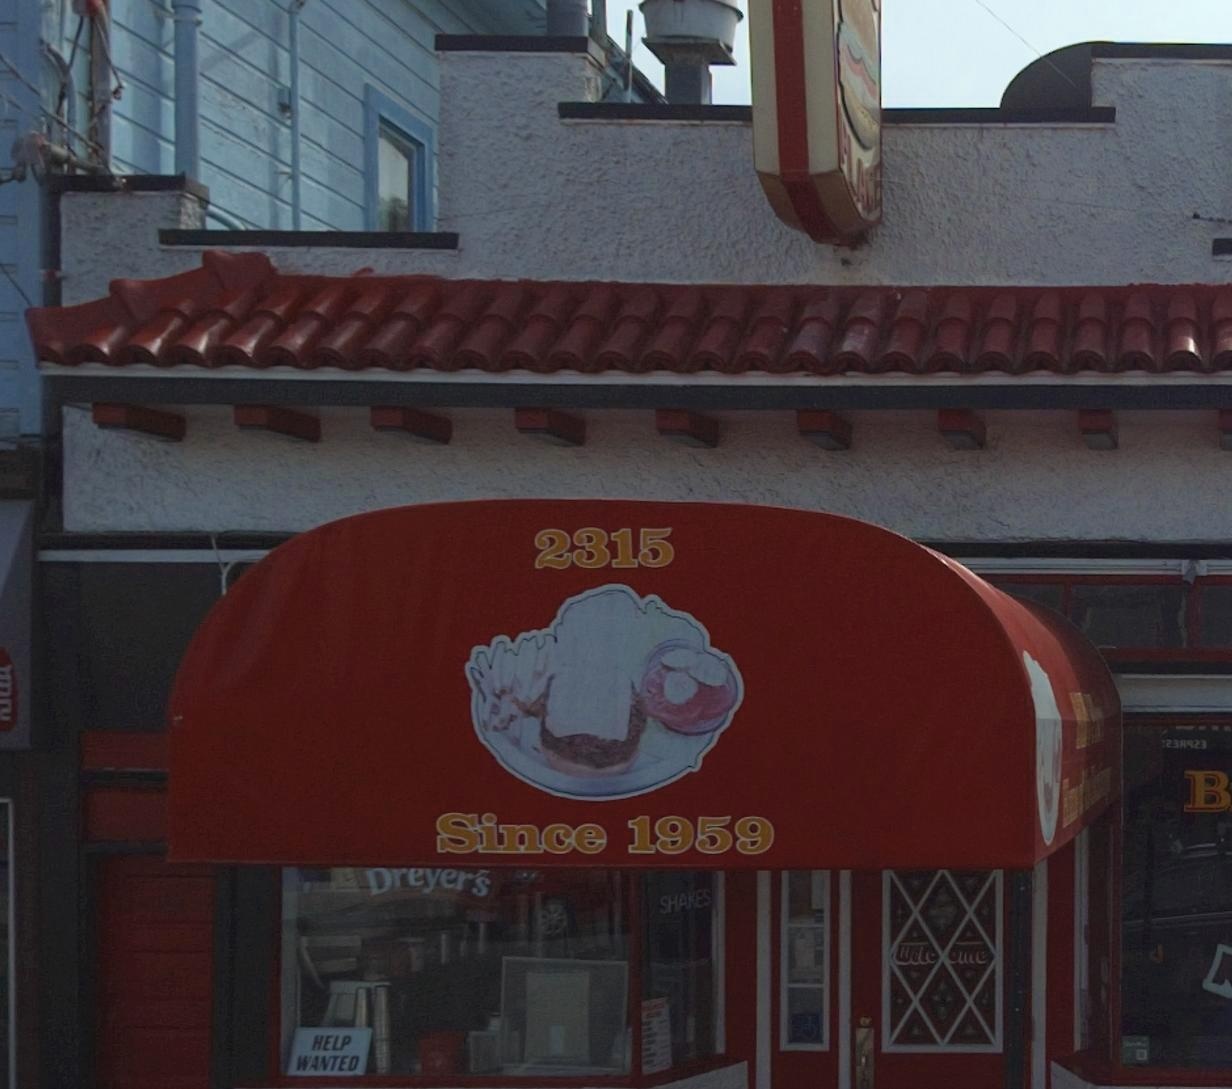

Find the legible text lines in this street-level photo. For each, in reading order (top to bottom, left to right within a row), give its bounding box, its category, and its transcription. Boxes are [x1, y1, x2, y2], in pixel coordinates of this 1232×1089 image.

[854, 153, 871, 213] None: A
[531, 525, 676, 571] StreetNumber: 2315
[1165, 737, 1208, 751] None: 23*923
[1182, 767, 1230, 816] BusinessName: B
[434, 811, 777, 857] None: Since 1959
[362, 865, 496, 898] None: Dr*yers
[658, 885, 713, 917] None: SHAKES
[894, 943, 988, 964] None: Wel*ome
[308, 1032, 354, 1052] None: HELP
[294, 1053, 364, 1073] None: WANTED